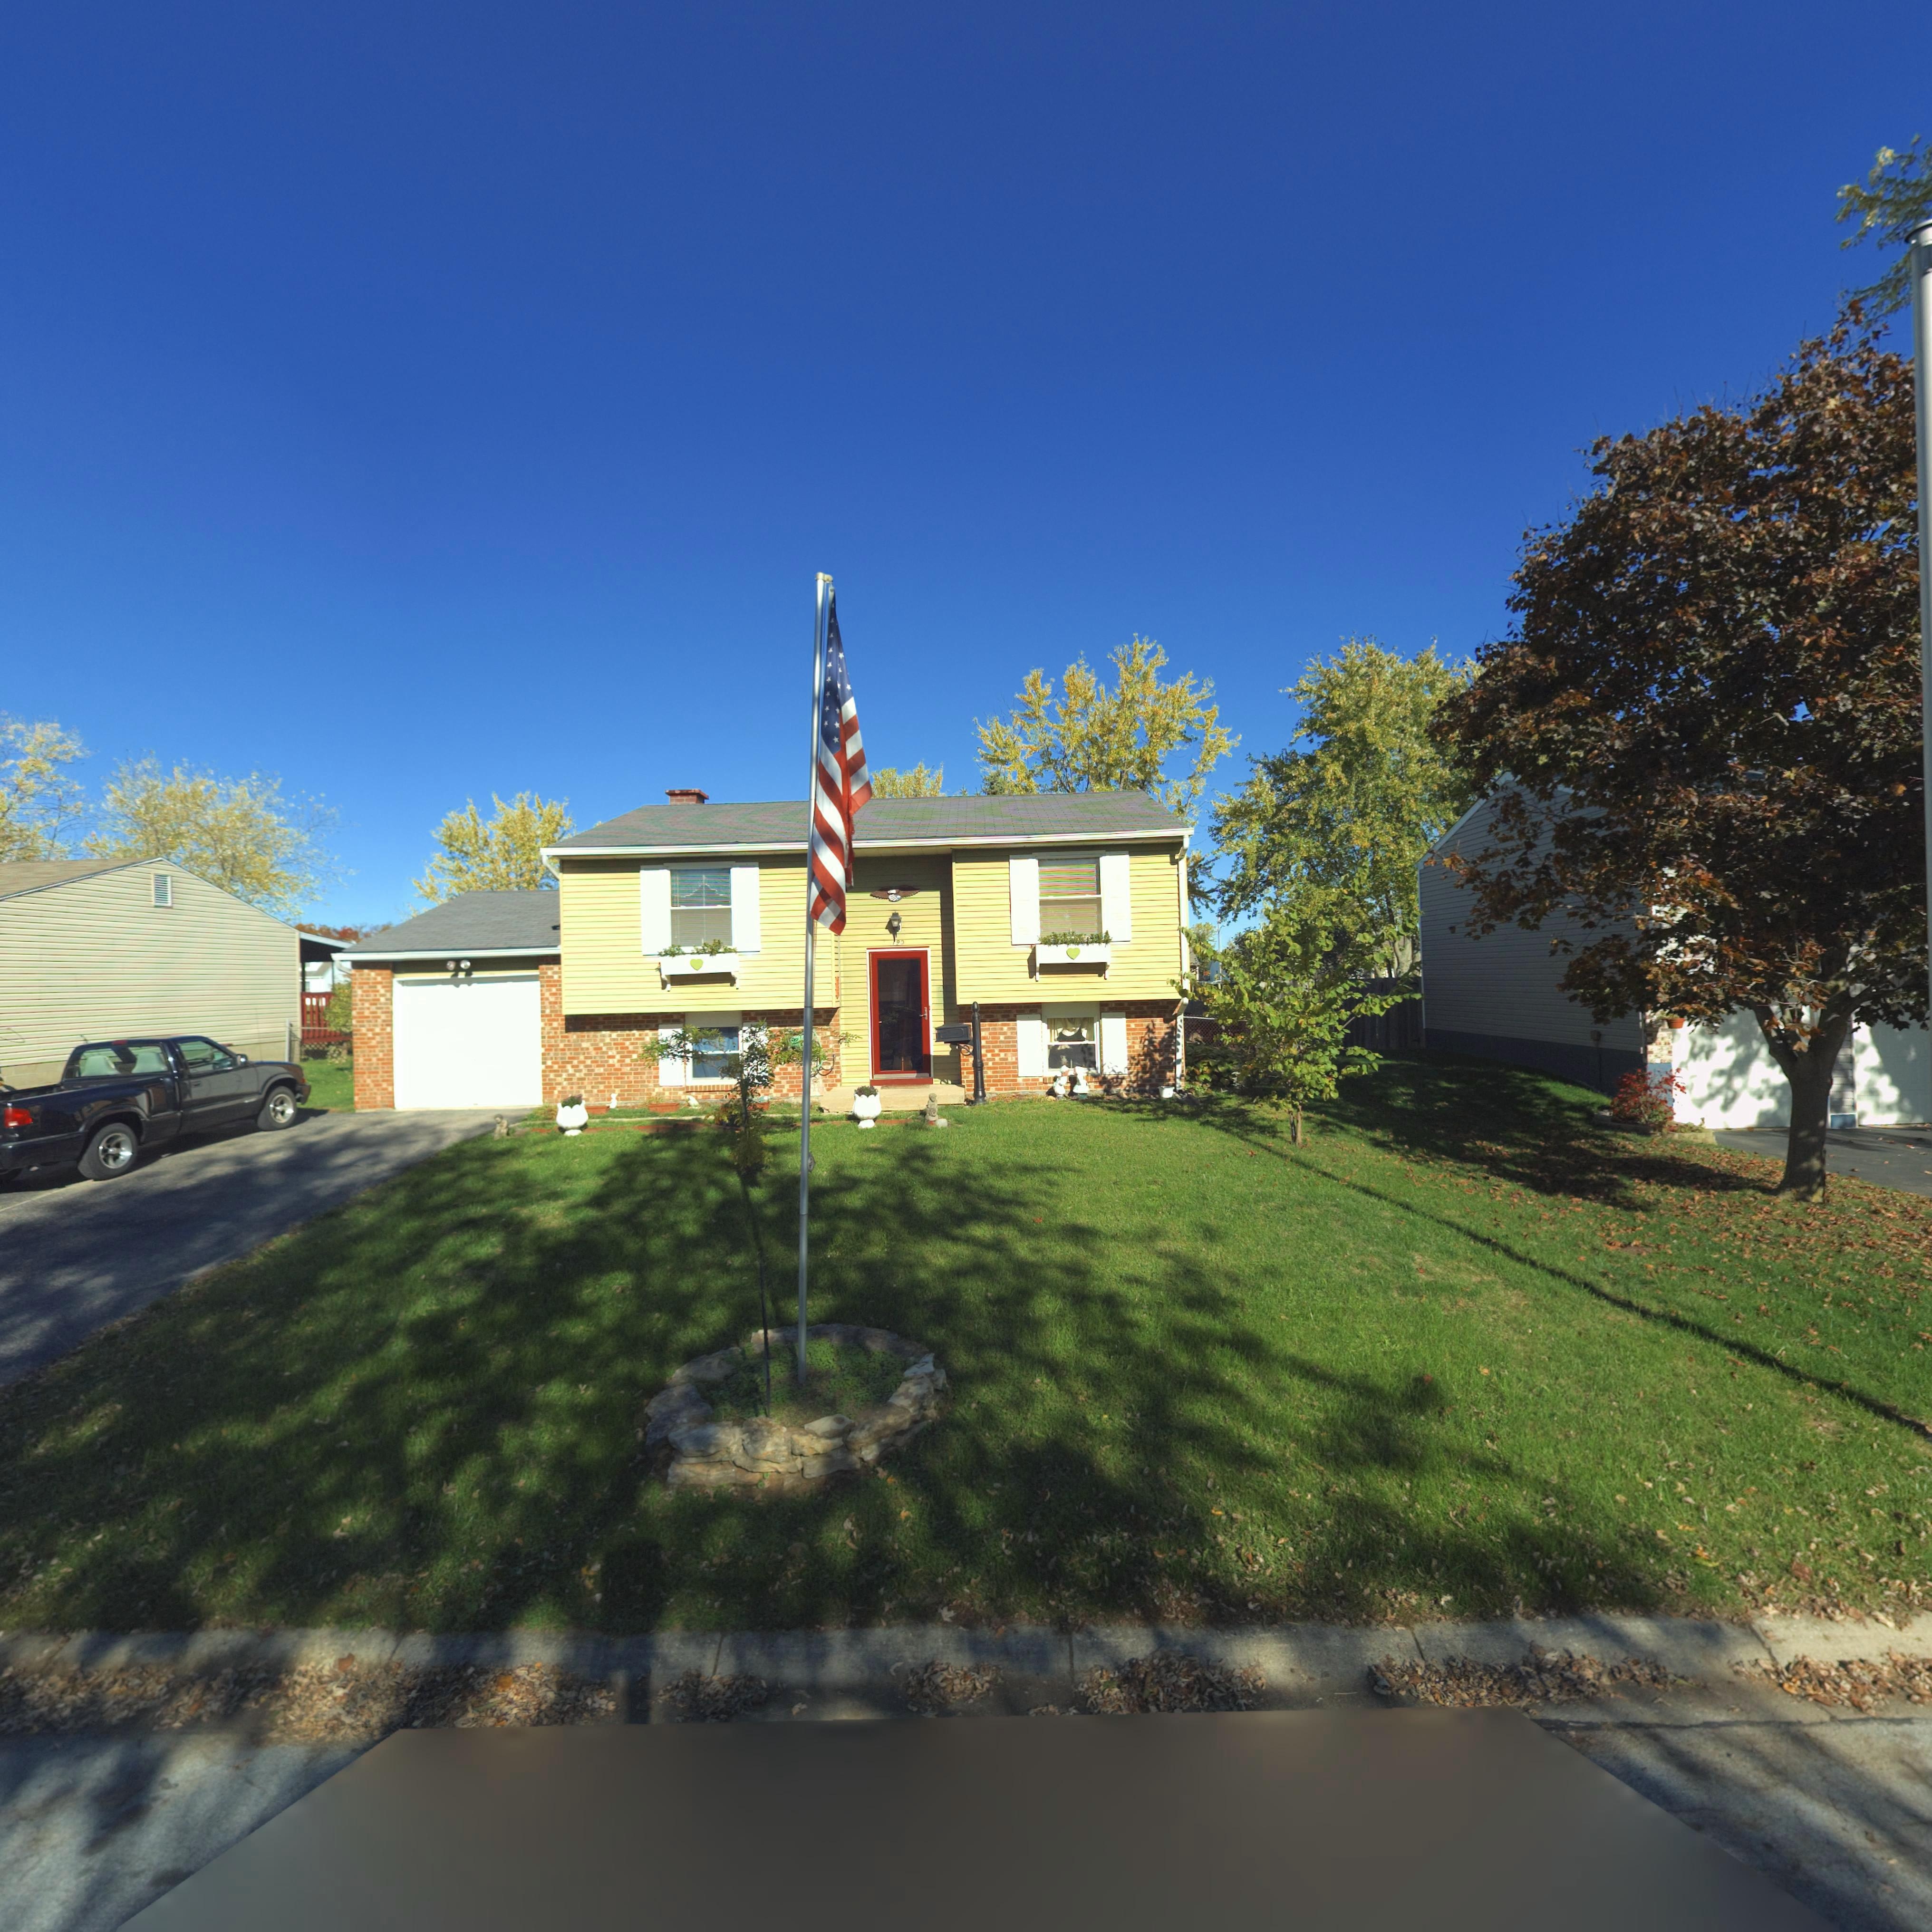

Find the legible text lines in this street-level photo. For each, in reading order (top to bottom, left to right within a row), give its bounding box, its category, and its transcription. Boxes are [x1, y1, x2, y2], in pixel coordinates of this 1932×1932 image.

[891, 938, 906, 947] StreetNumber: 190